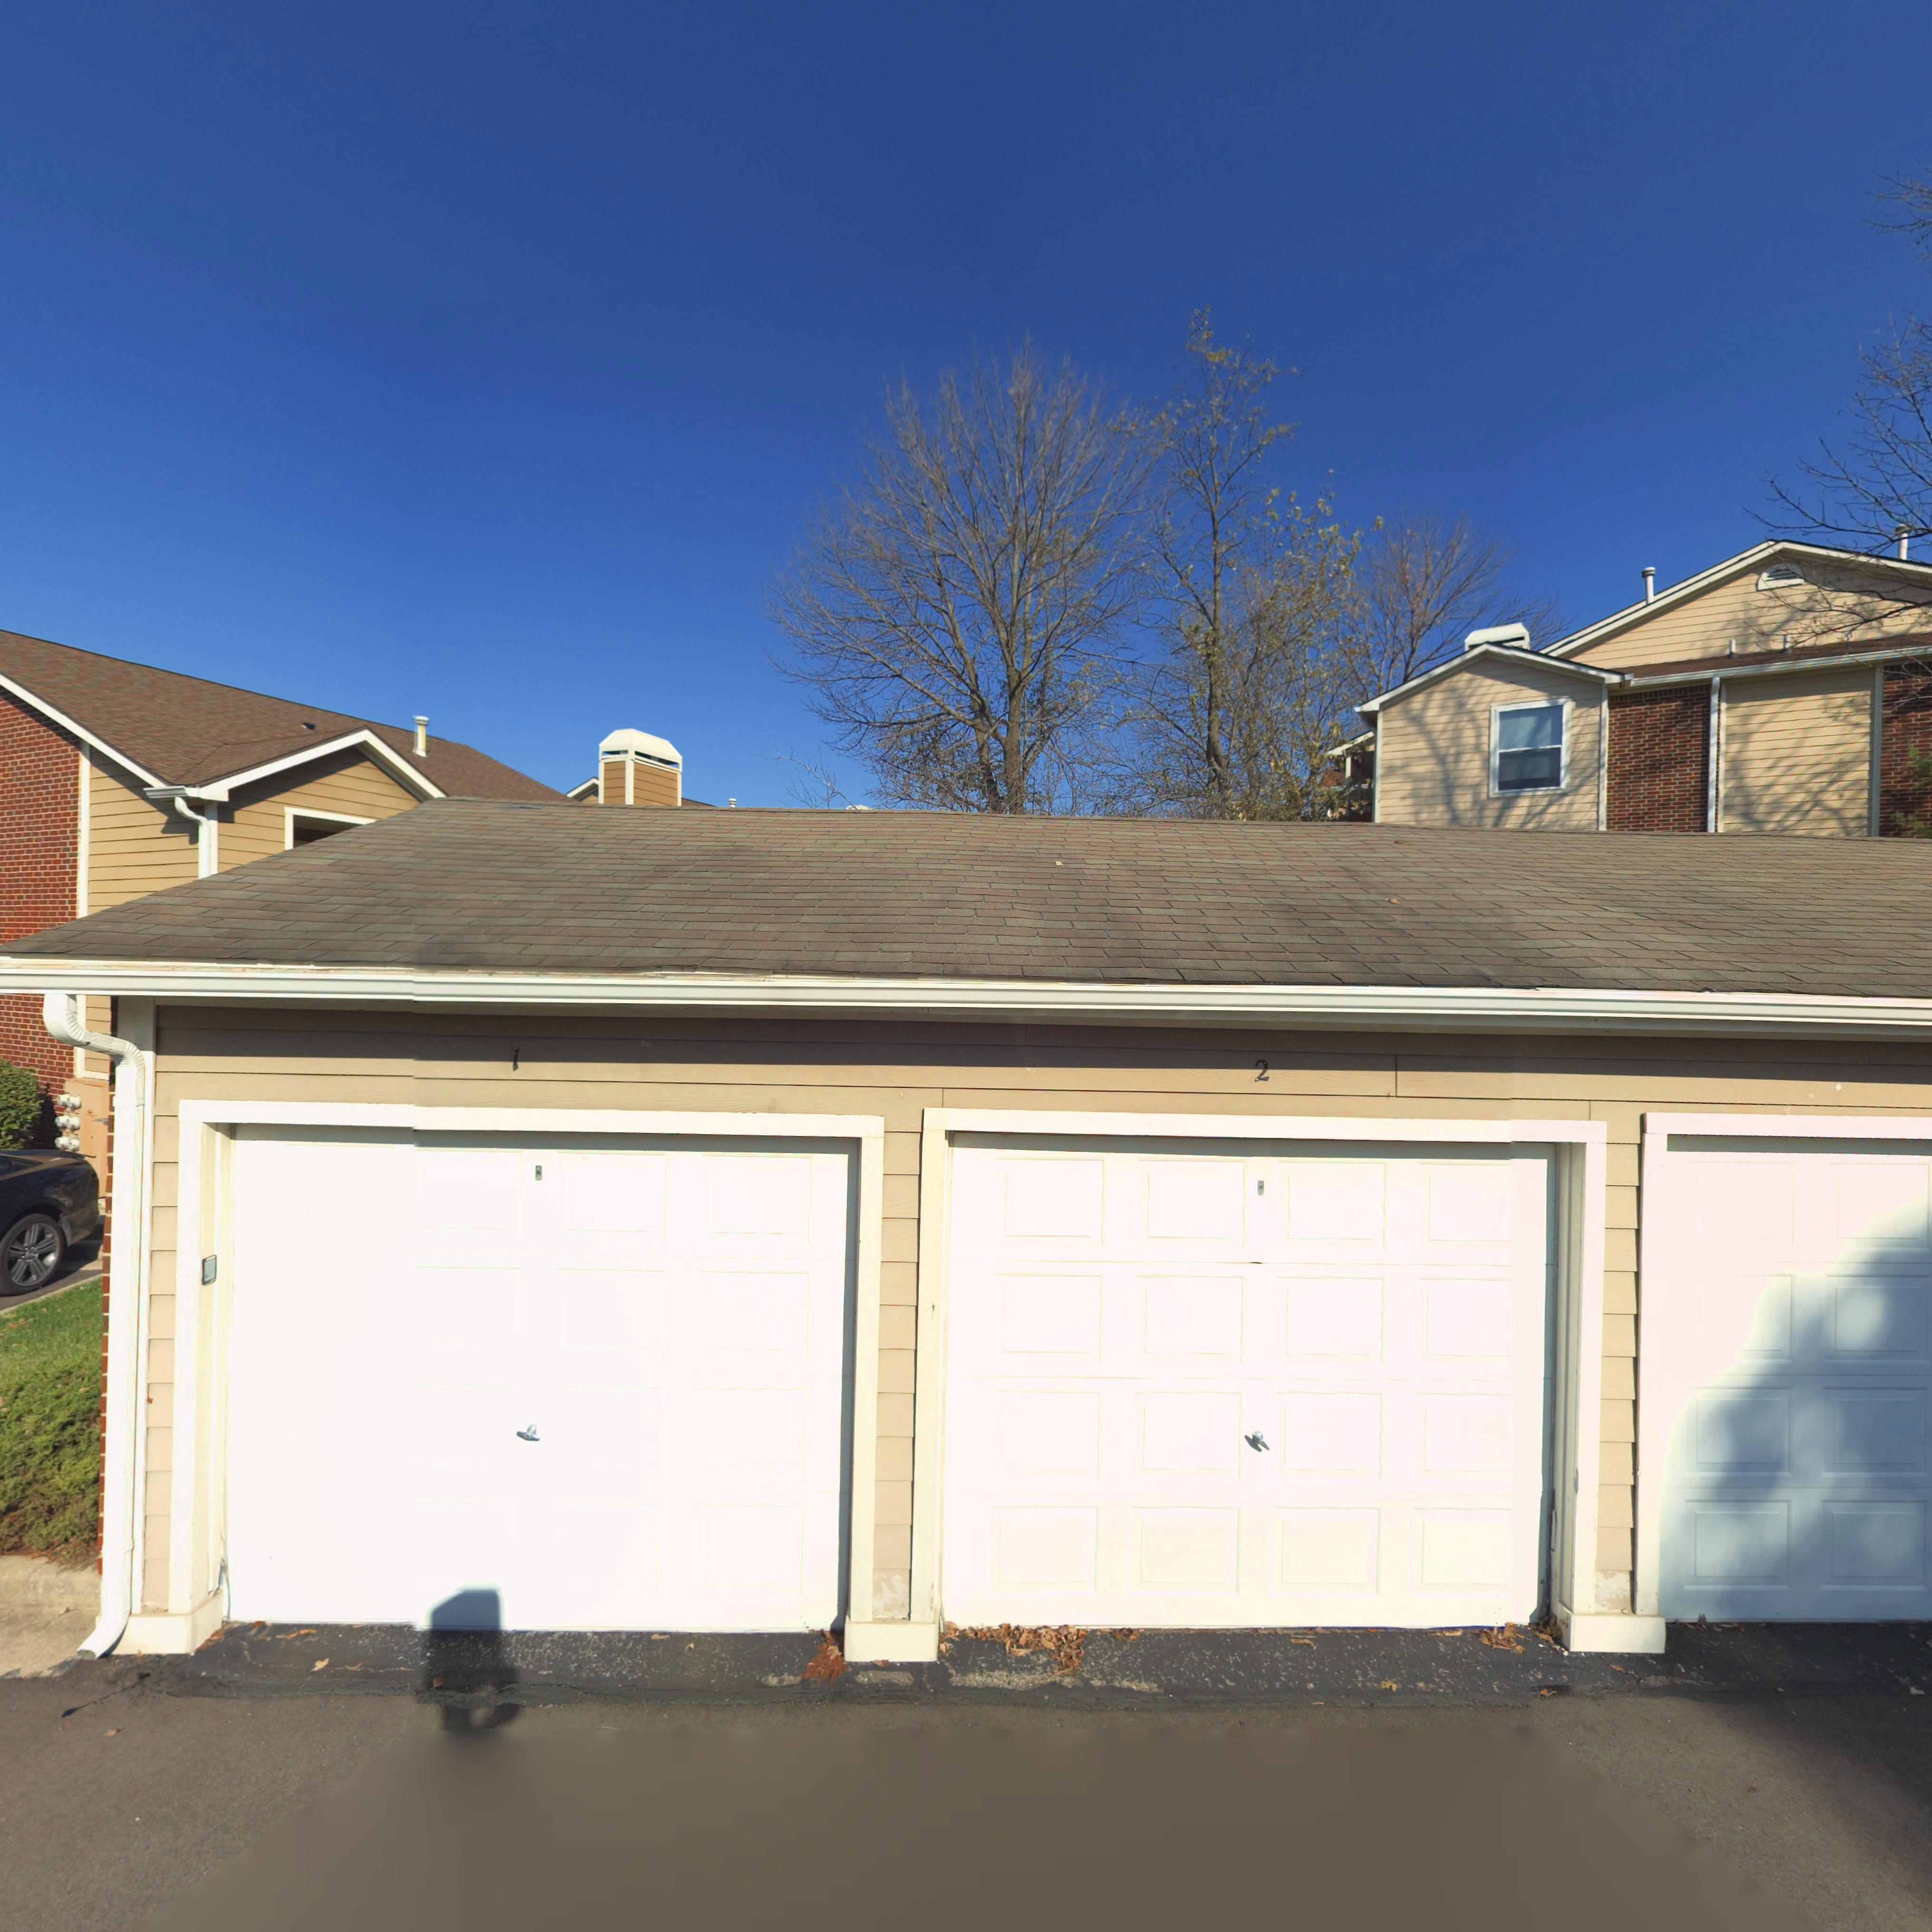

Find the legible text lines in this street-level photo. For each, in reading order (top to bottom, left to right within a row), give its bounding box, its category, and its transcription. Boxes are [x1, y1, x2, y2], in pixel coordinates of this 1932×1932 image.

[510, 1047, 522, 1073] StreetNumber: 1
[1254, 1058, 1272, 1083] StreetNumber: 2